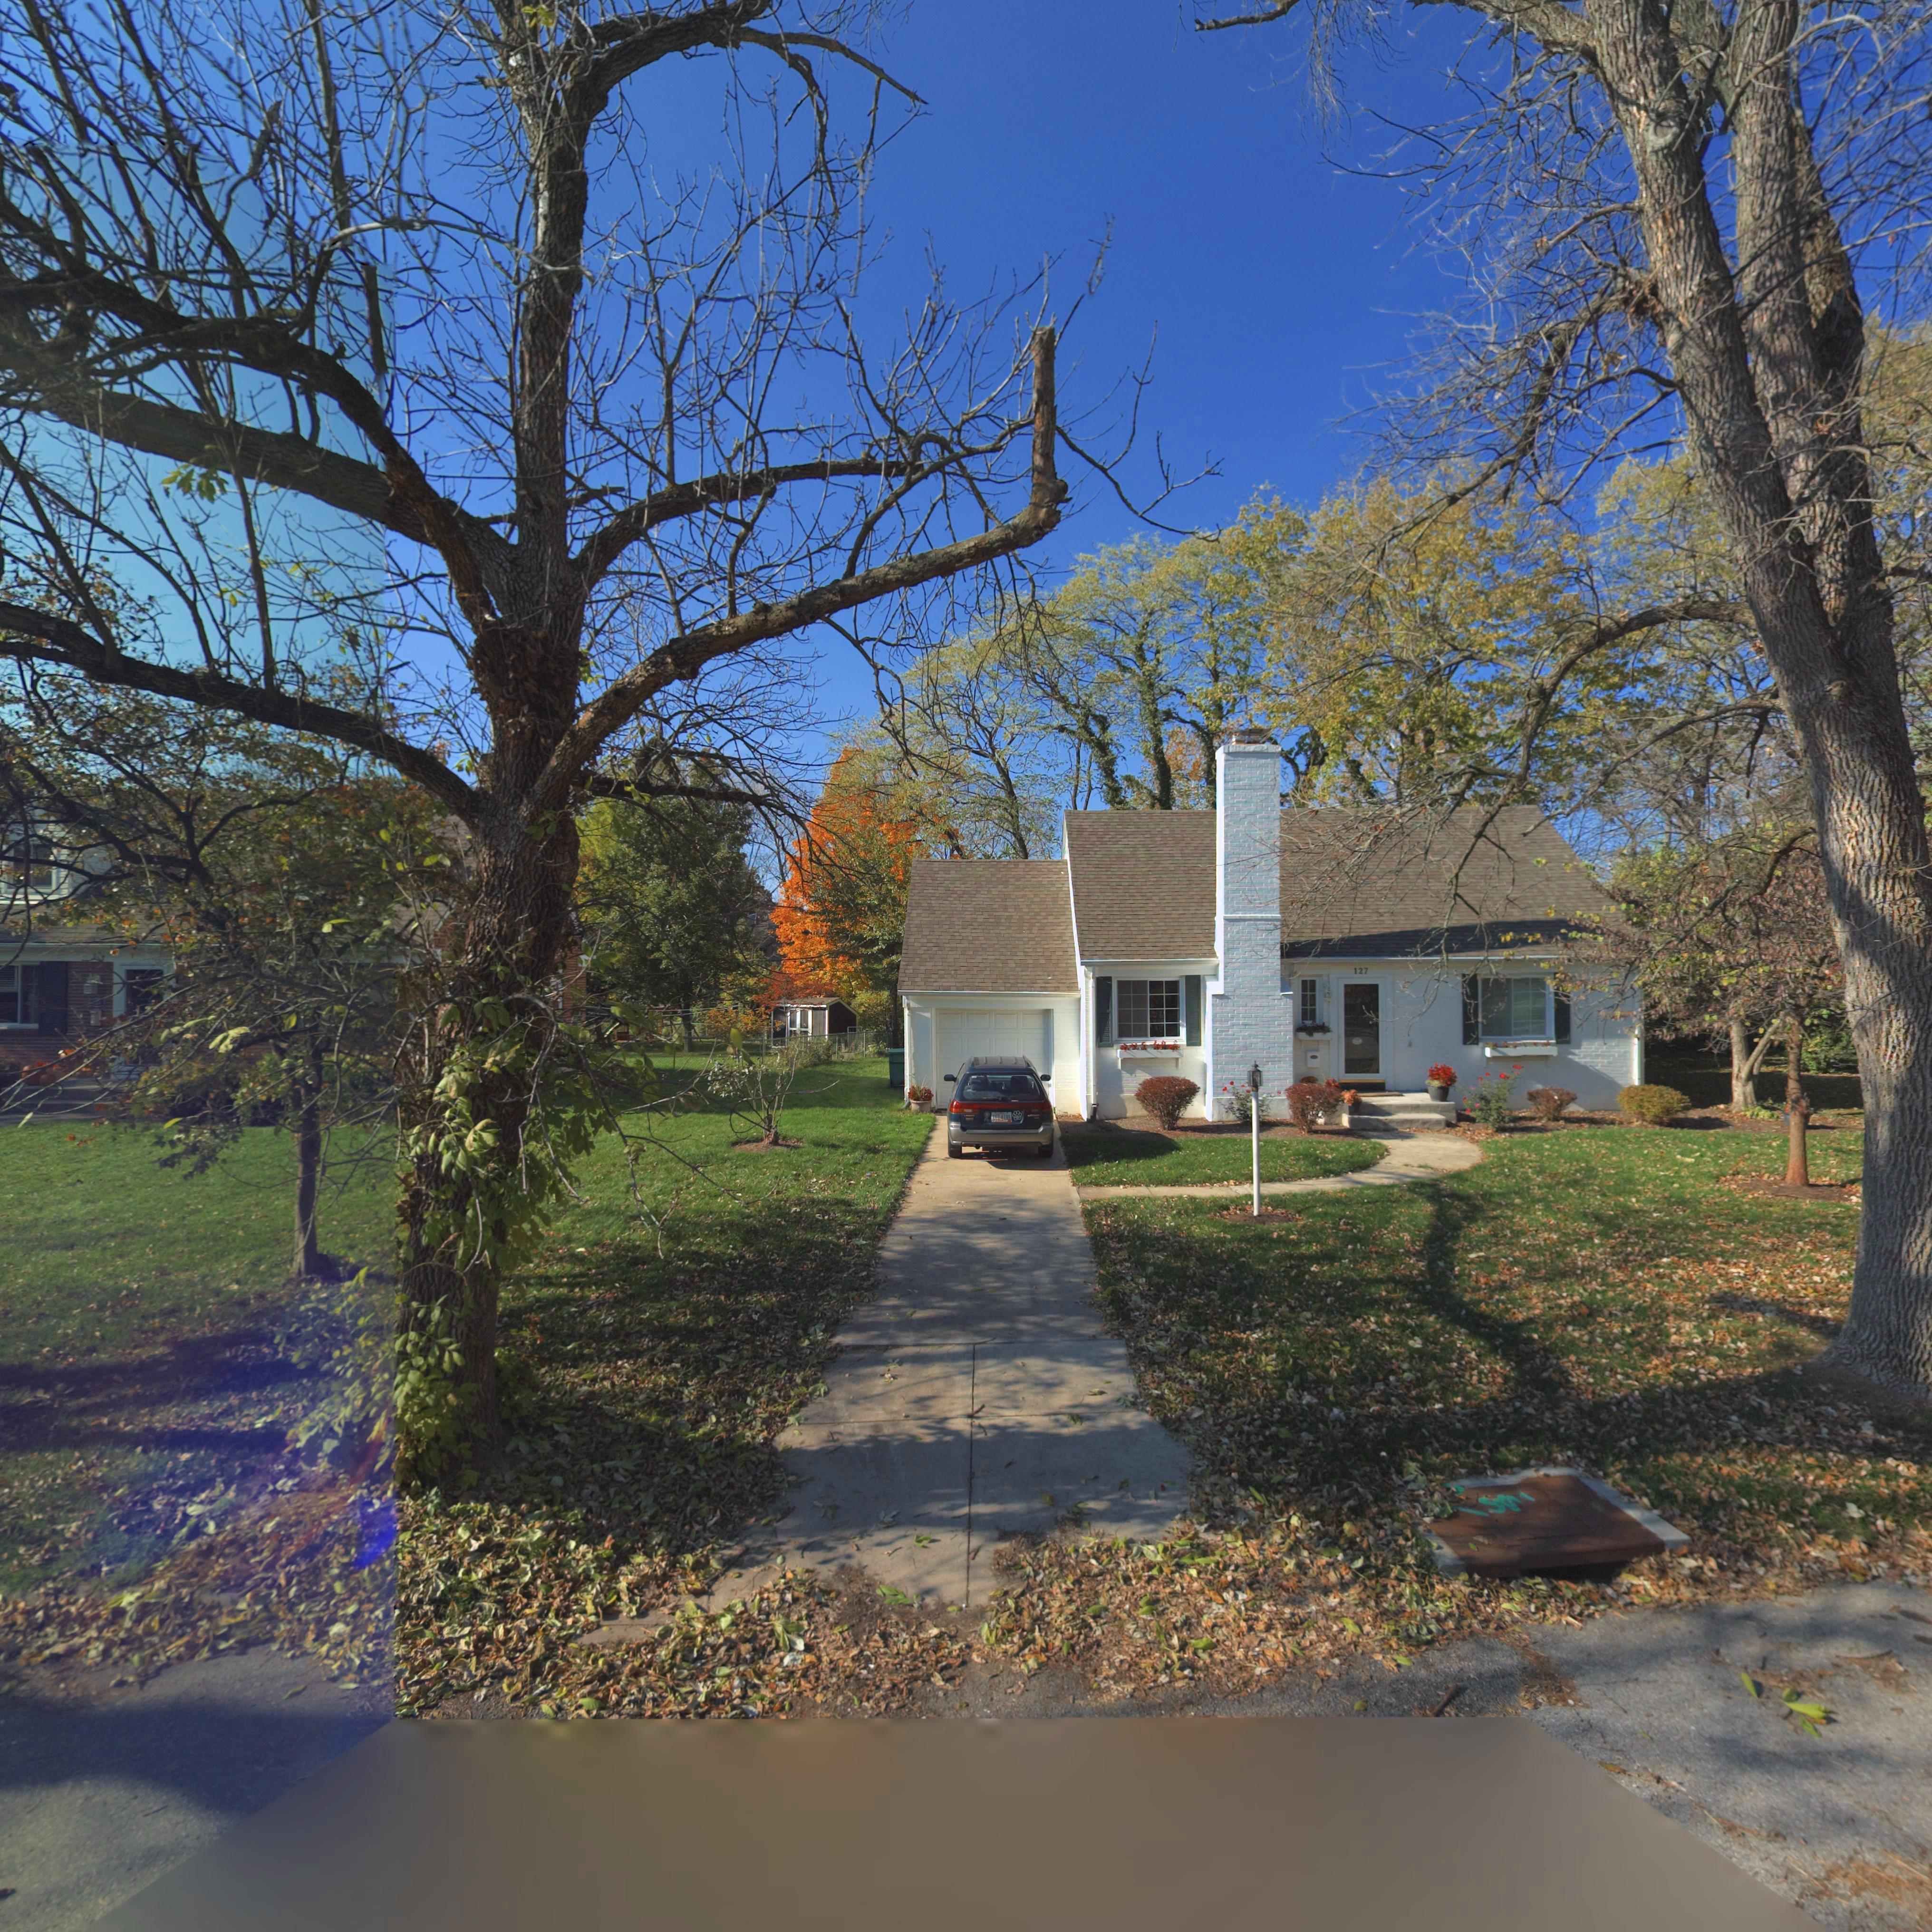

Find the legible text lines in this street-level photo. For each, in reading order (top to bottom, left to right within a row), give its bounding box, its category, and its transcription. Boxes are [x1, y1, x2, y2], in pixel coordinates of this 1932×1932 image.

[1352, 966, 1370, 975] StreetNumber: 127